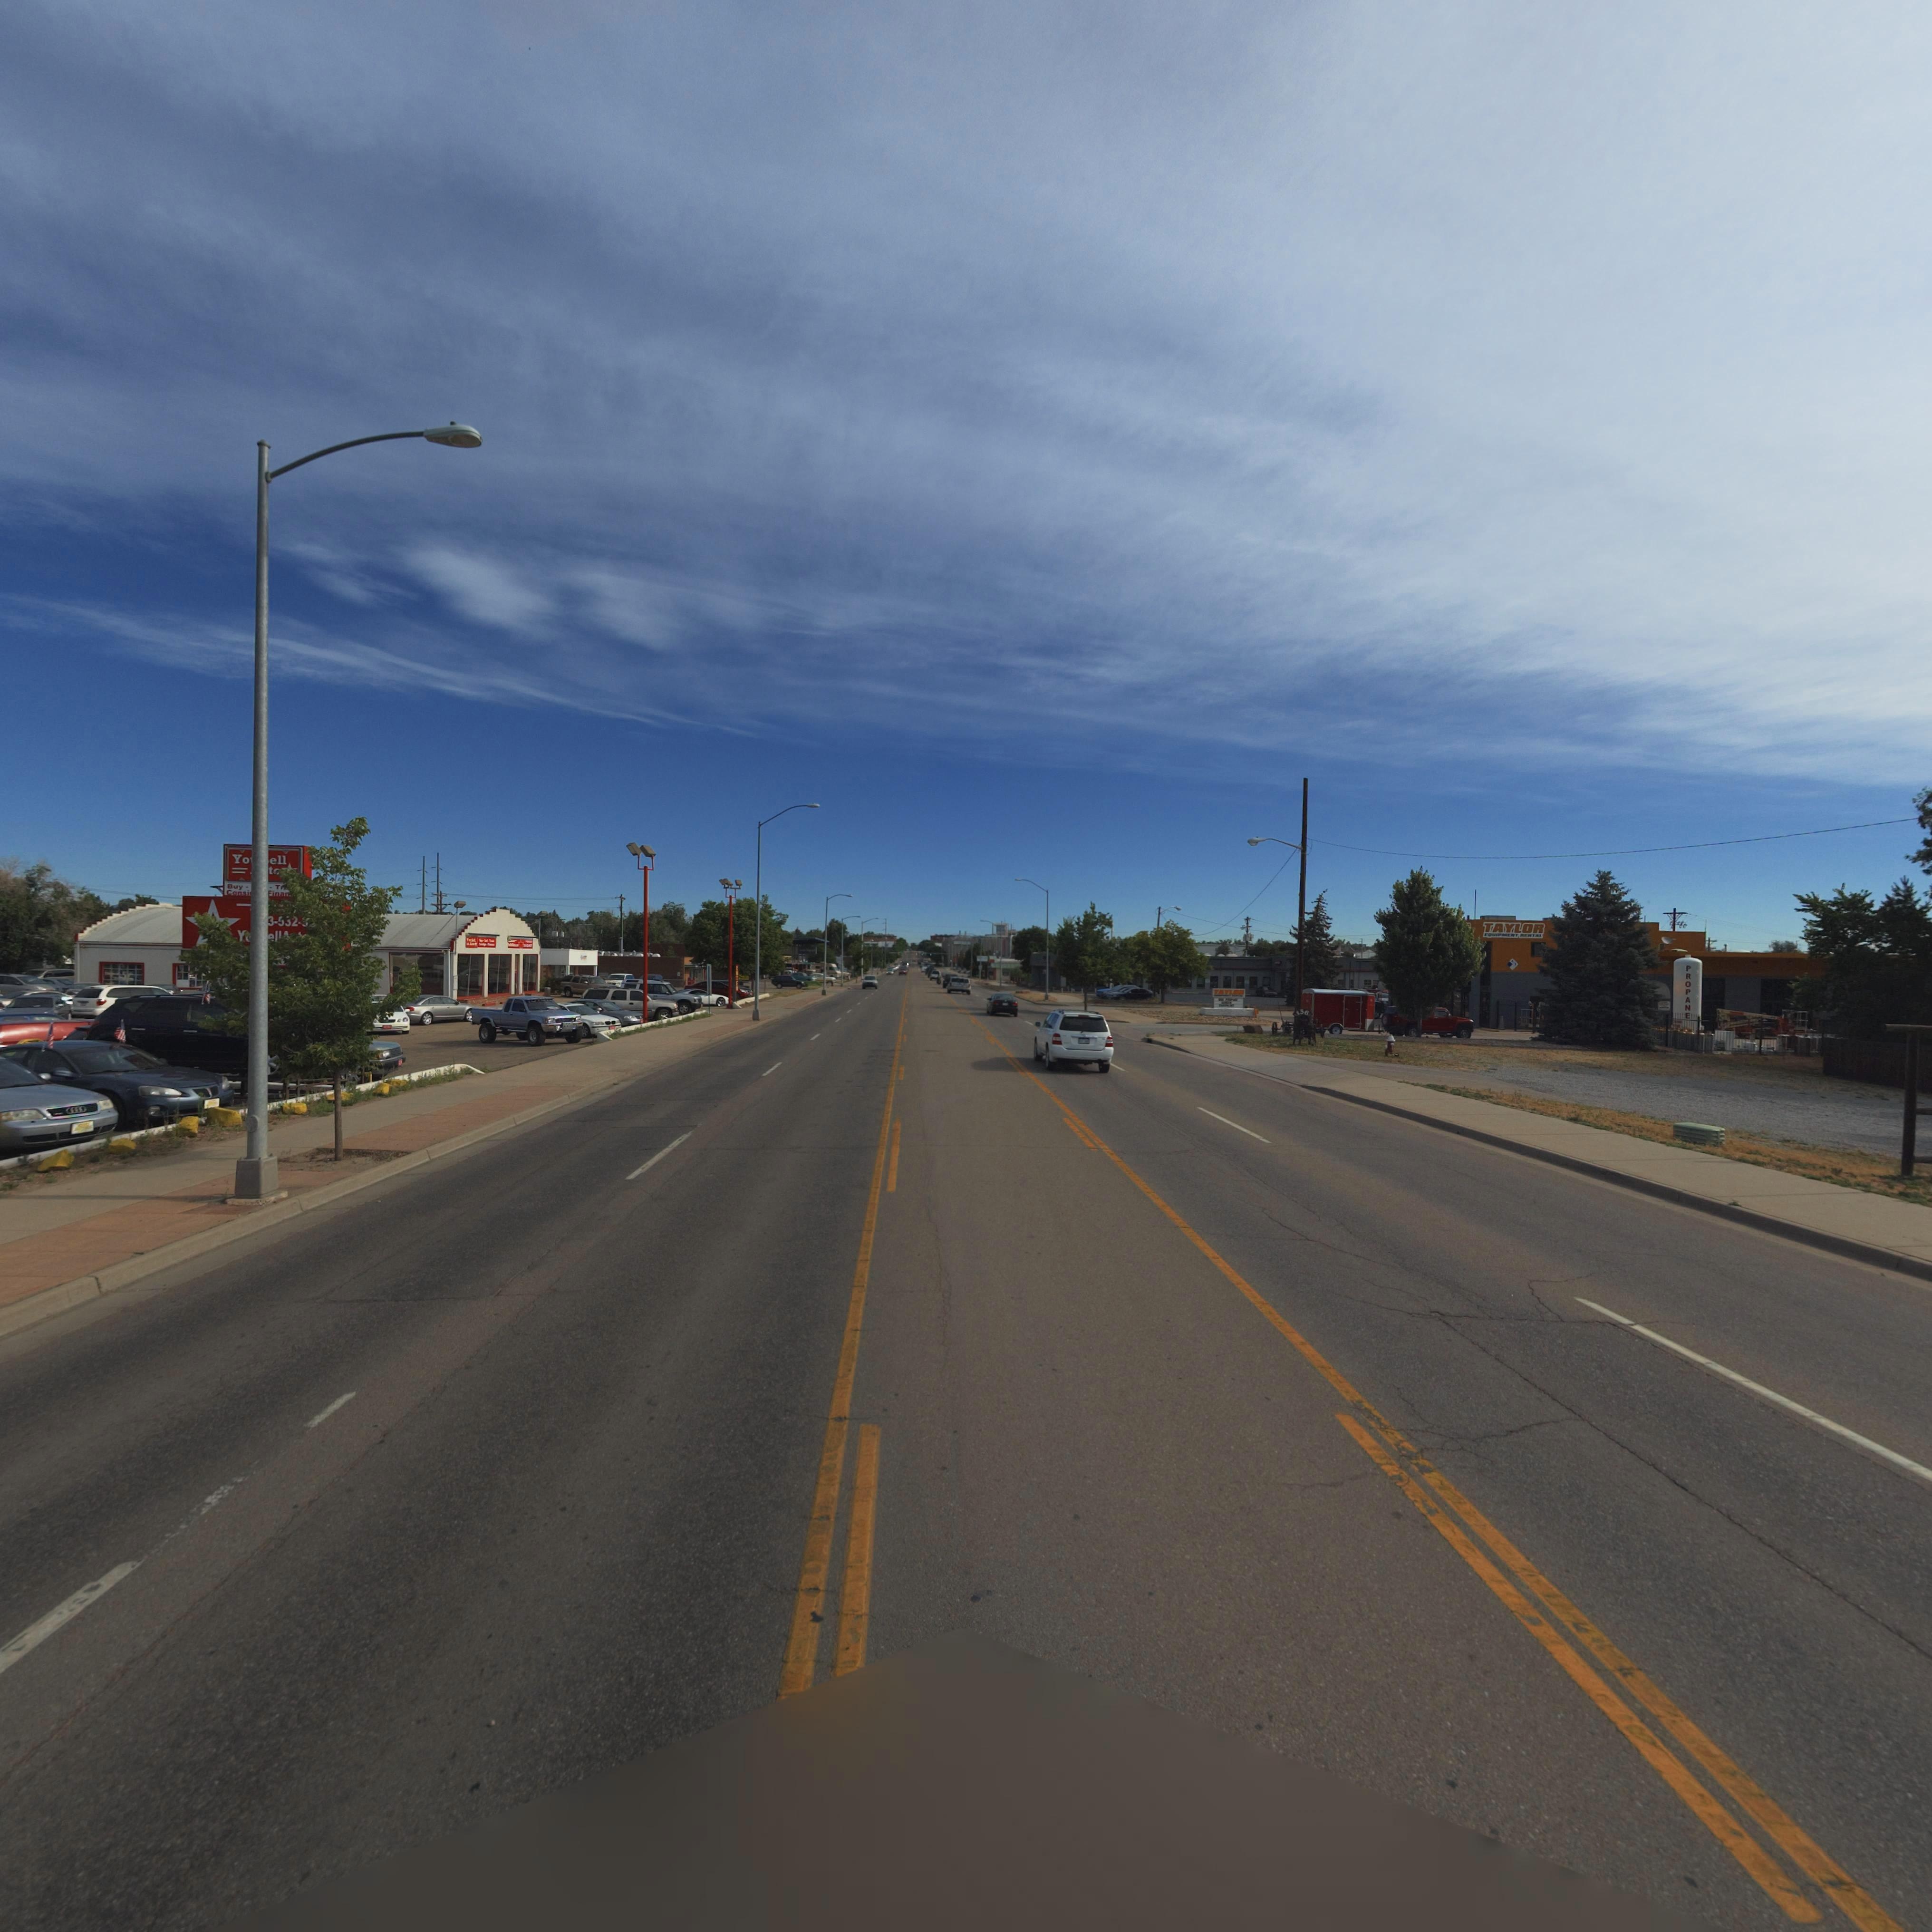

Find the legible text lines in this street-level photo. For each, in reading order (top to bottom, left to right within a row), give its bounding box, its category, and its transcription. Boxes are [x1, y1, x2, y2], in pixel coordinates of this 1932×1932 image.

[231, 854, 286, 864] BusinessName: Yo* *ell
[269, 866, 281, 875] BusinessName: t*
[1484, 923, 1545, 933] BusinessName: TAYLOR
[1484, 933, 1542, 937] BusinessName: EQUIPMENT RENTAL
[1214, 989, 1244, 995] BusinessName: TAYL**
[1295, 1009, 1310, 1015] StreetNumber: 136